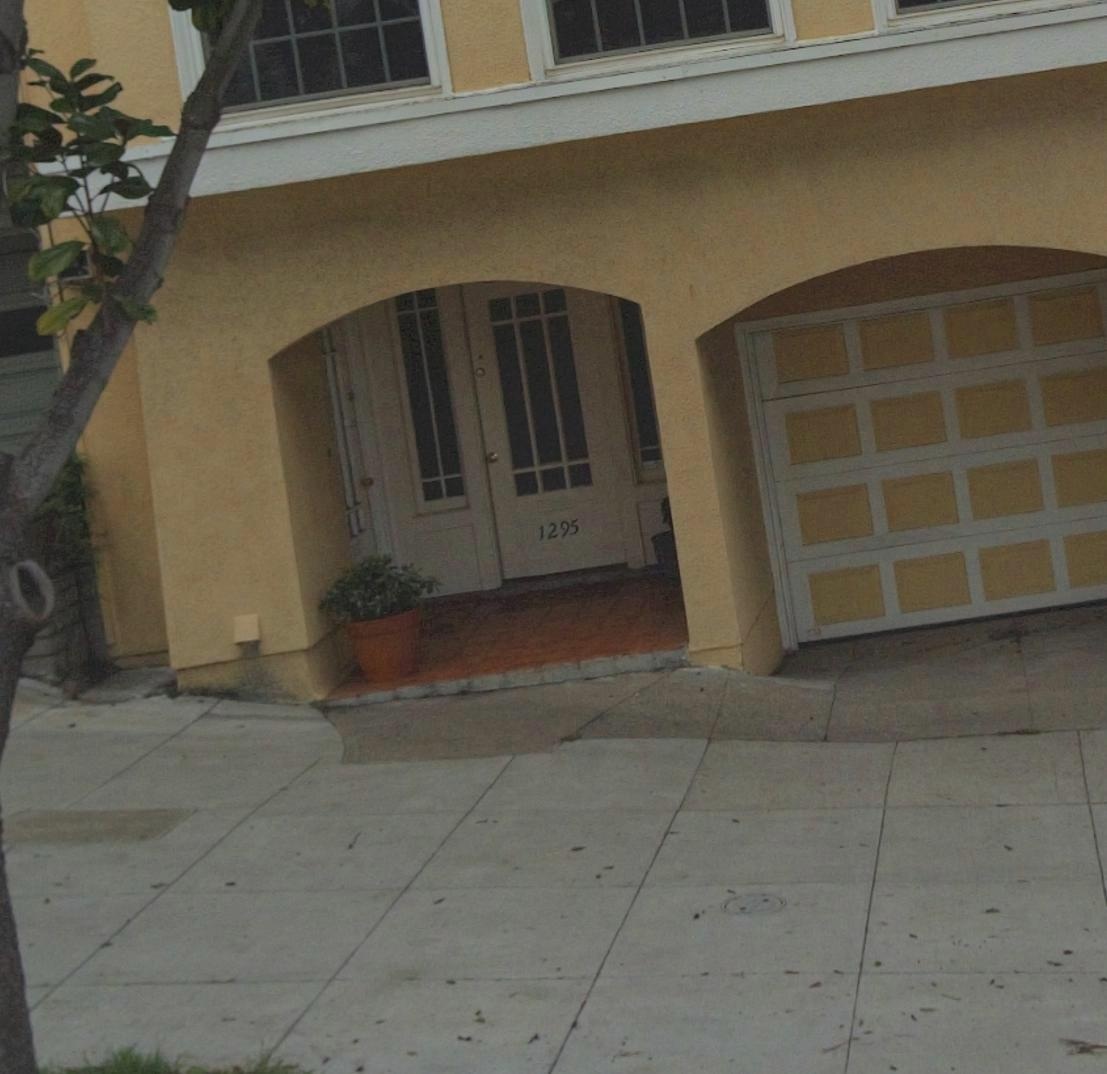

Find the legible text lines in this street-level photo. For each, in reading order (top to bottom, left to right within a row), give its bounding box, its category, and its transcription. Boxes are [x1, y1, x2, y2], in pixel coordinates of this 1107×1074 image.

[537, 515, 581, 543] StreetNumber: 1295